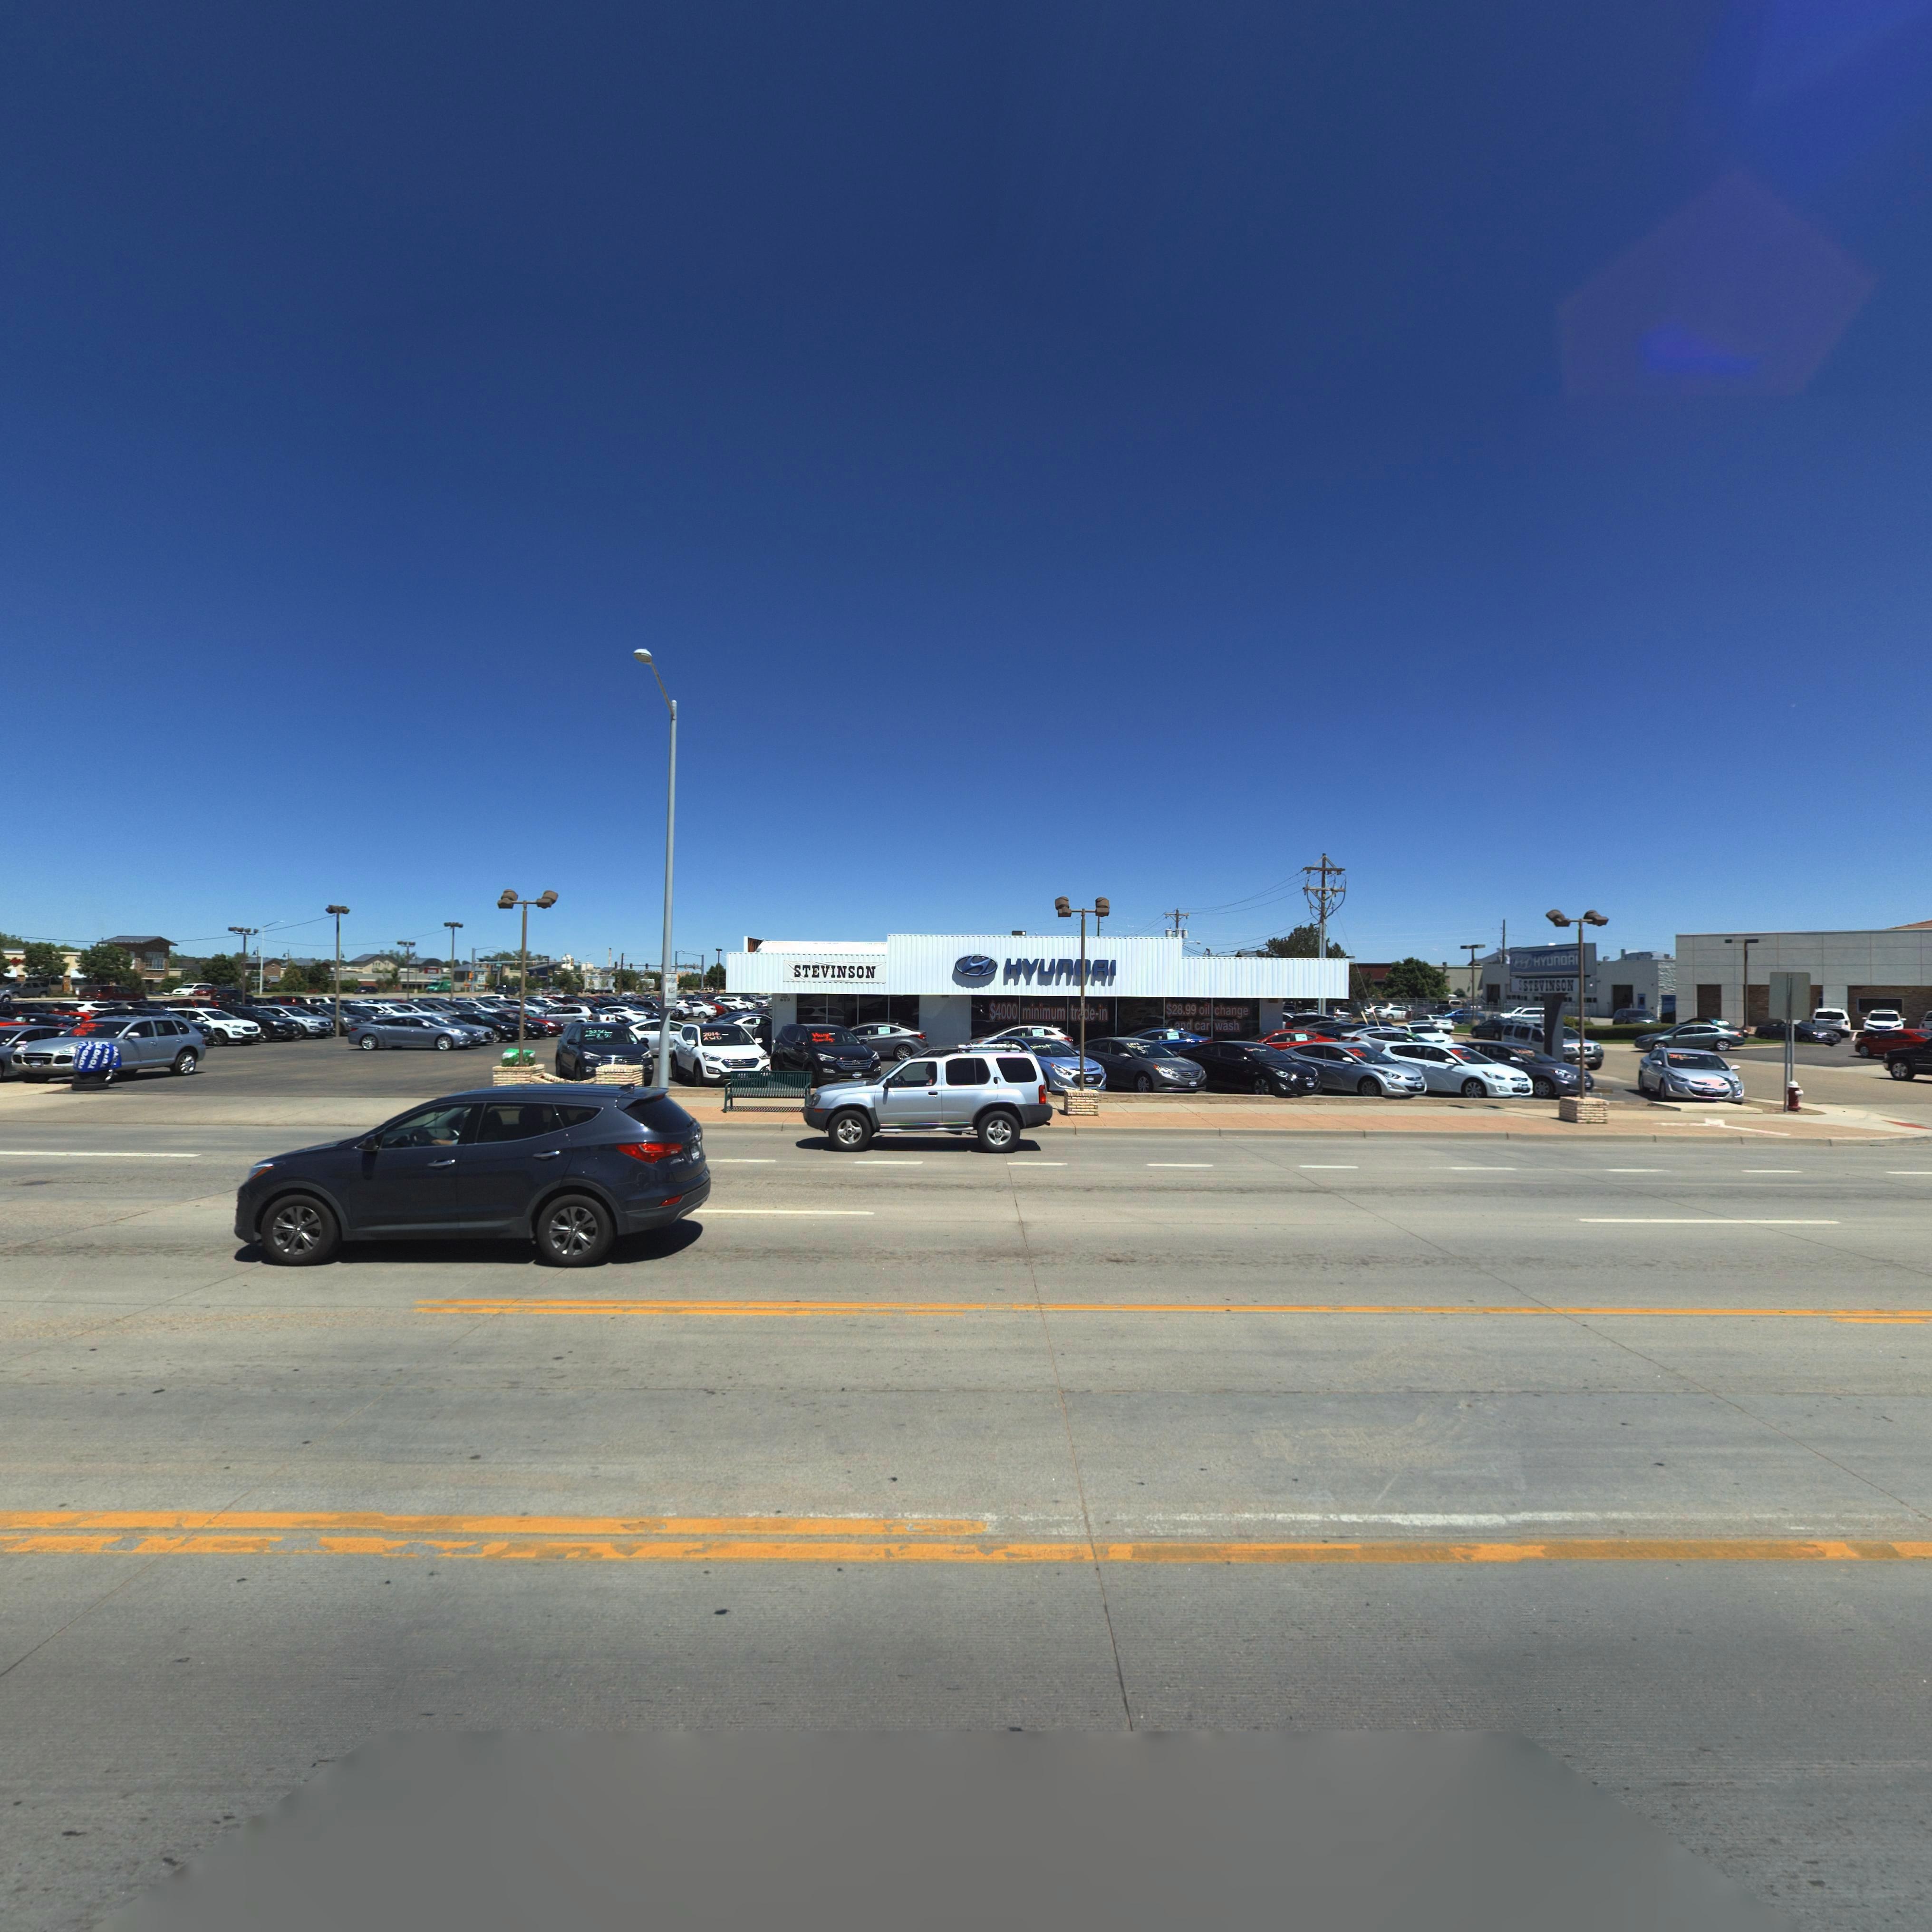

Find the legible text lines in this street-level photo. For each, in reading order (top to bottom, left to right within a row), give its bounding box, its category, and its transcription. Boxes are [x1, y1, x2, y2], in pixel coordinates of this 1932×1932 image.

[2, 956, 37, 969] BusinessName: **lg*****
[427, 975, 441, 979] BusinessName: C****
[794, 965, 876, 978] BusinessName: STEVINSON\
[1005, 957, 1117, 976] BusinessName: HYUNDAI
[1533, 954, 1580, 967] BusinessName: HYUNDAI
[1517, 979, 1575, 991] BusinessName: *STEVINSON